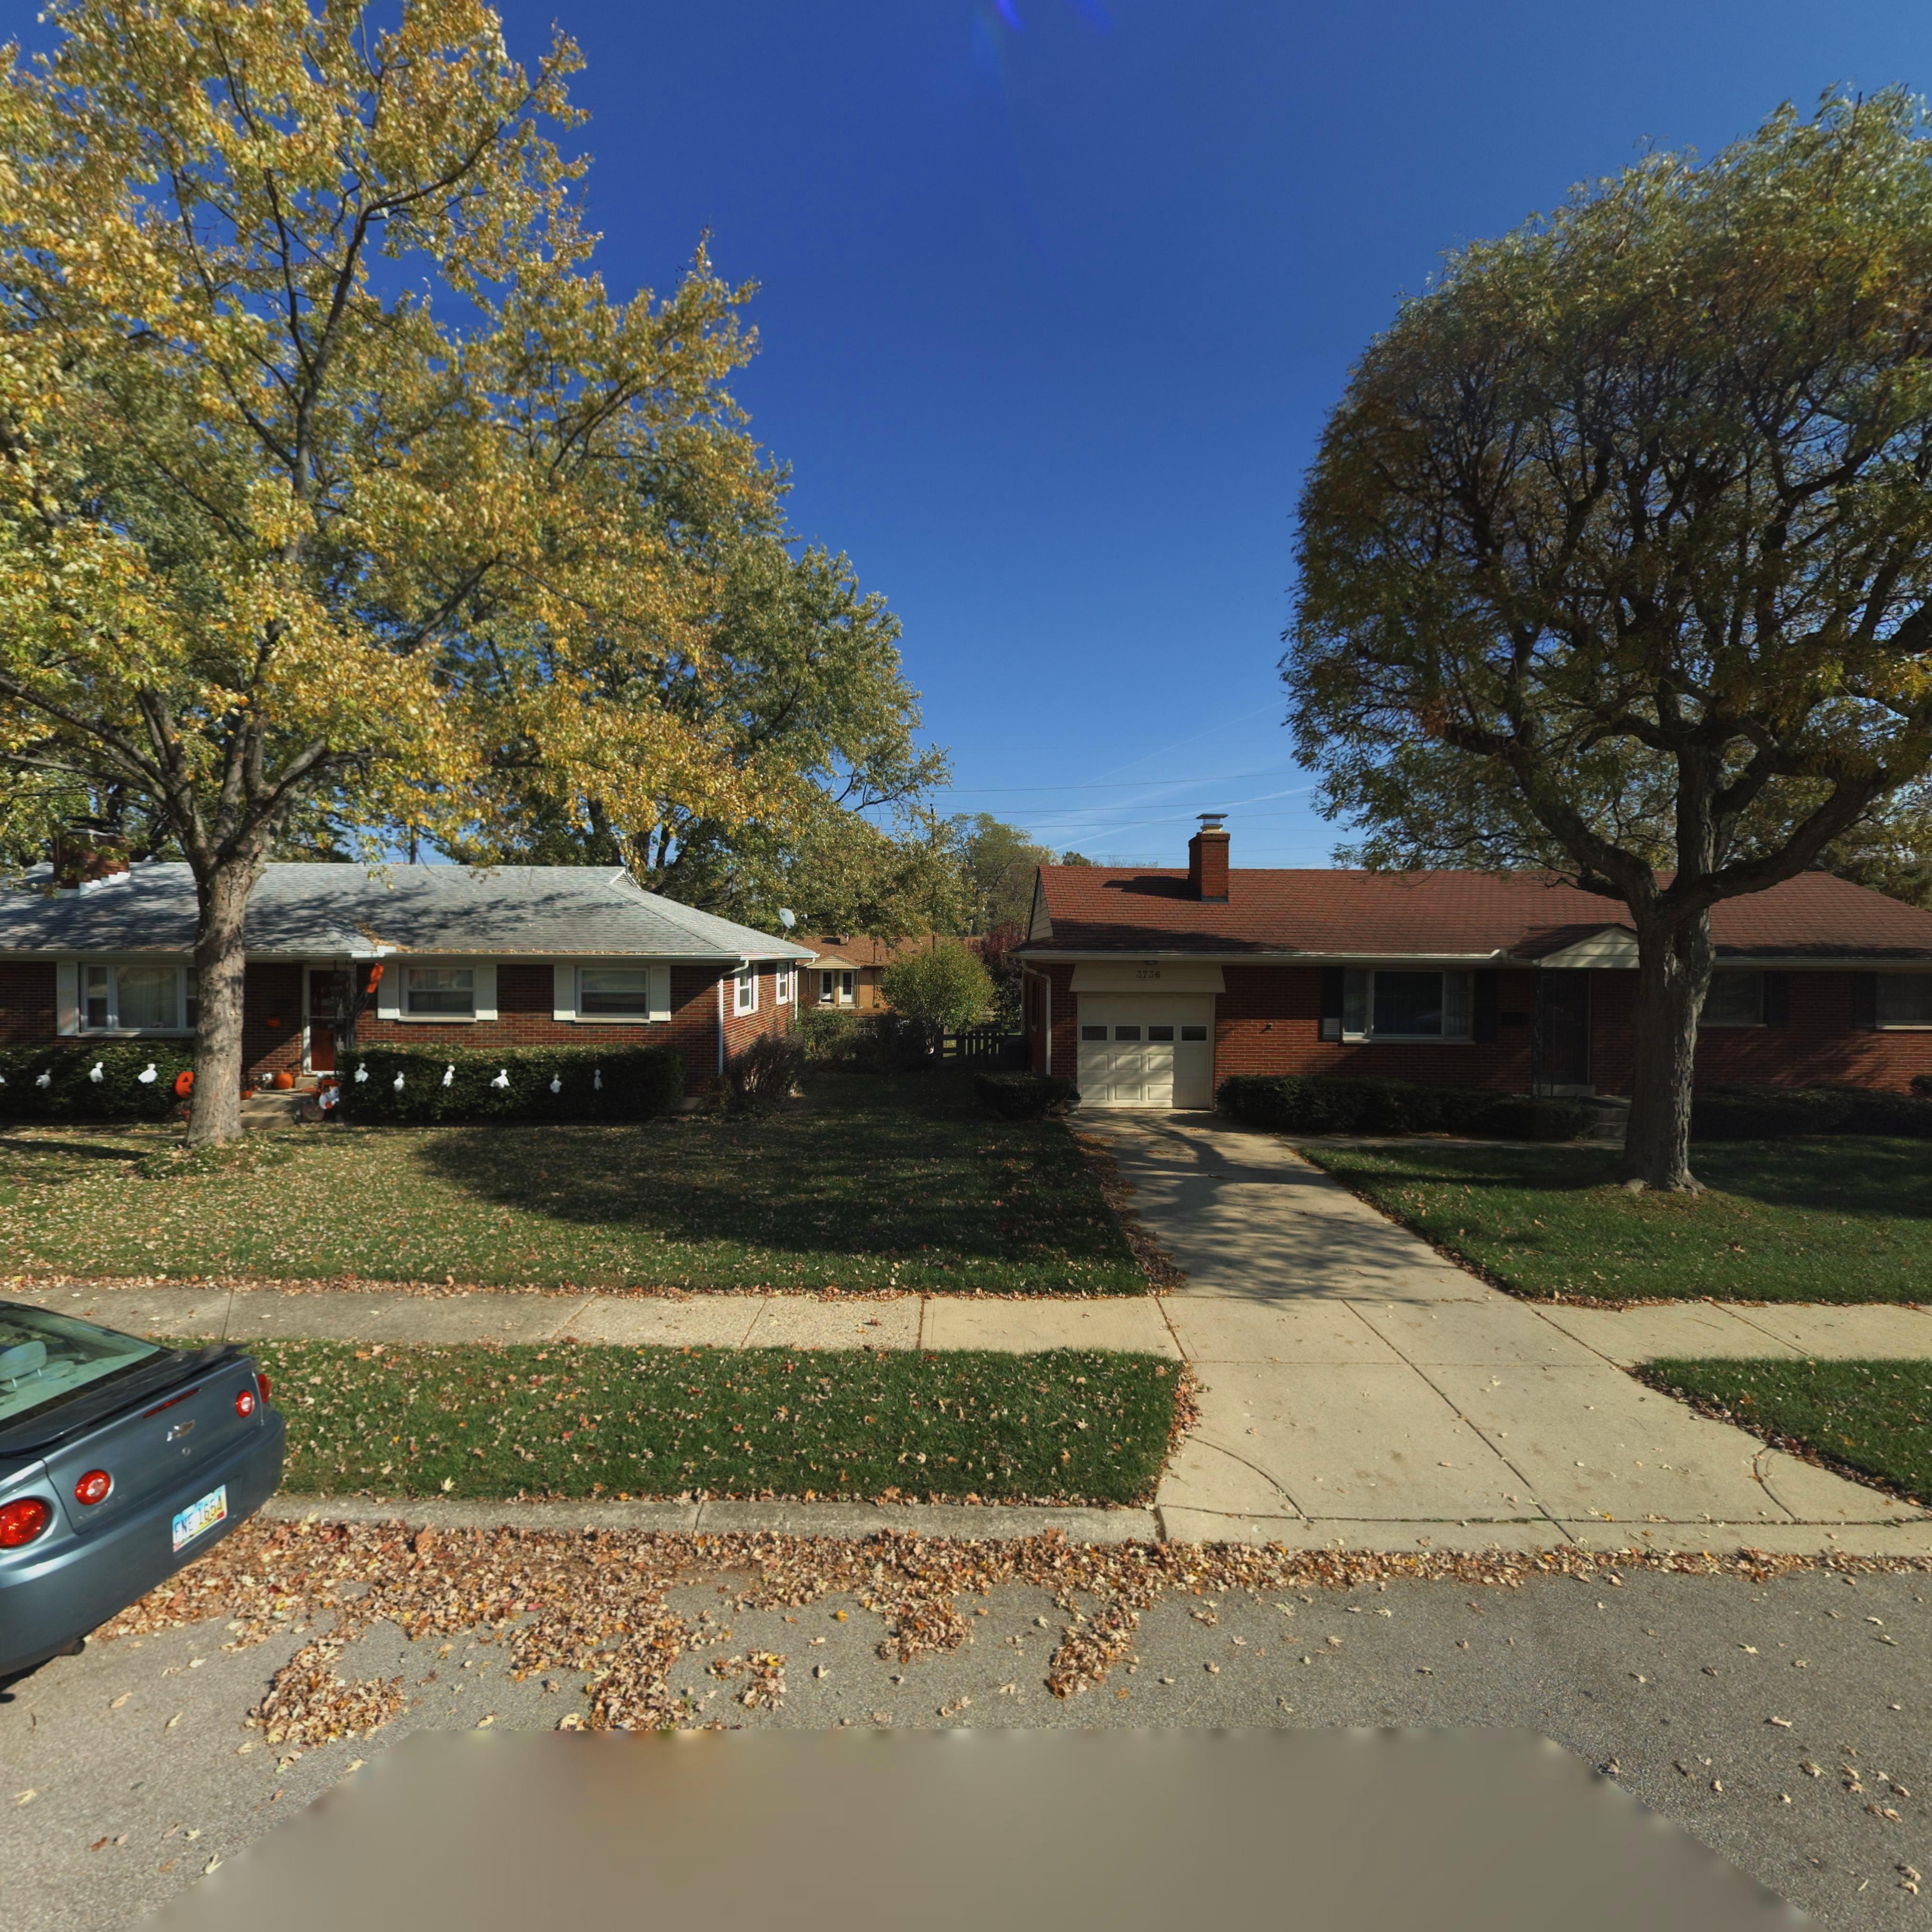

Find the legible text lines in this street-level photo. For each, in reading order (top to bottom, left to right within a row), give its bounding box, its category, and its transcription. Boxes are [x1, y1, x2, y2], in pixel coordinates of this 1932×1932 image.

[1135, 969, 1161, 979] StreetNumber: 3736